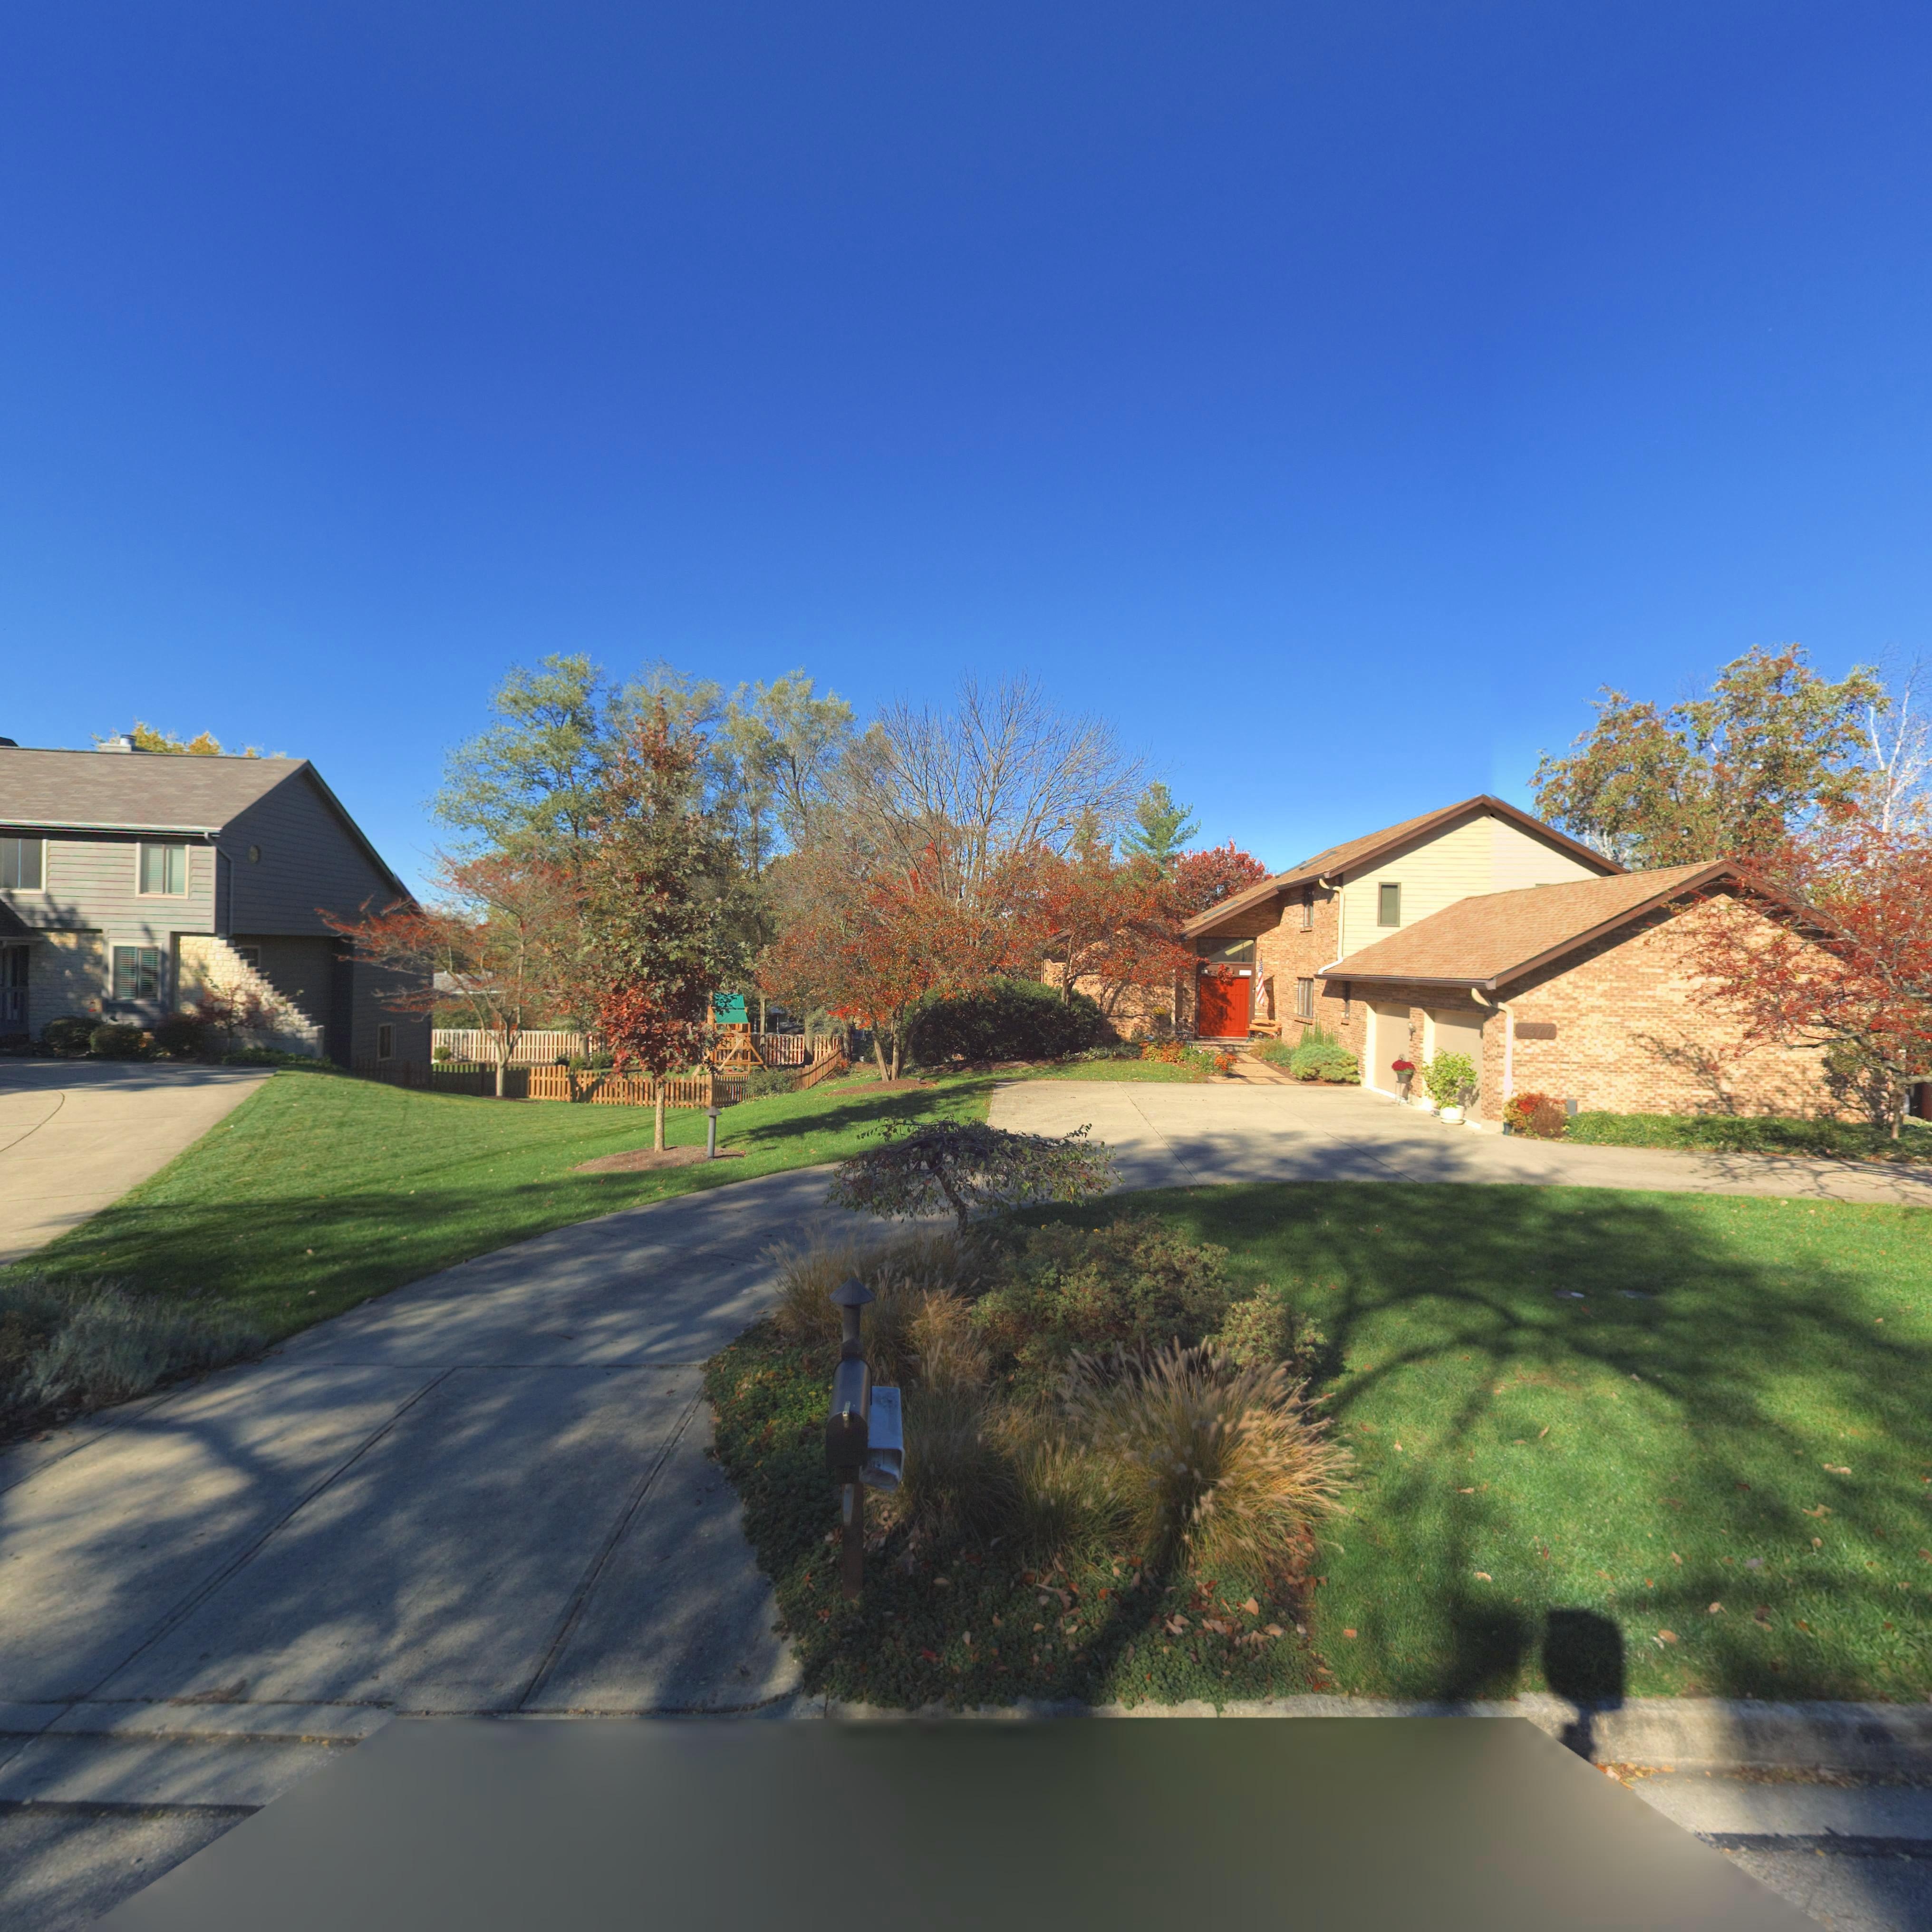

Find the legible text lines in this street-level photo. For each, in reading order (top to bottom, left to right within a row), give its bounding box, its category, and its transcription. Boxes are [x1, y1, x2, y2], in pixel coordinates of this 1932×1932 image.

[1519, 1025, 1554, 1037] StreetNumber: 4377